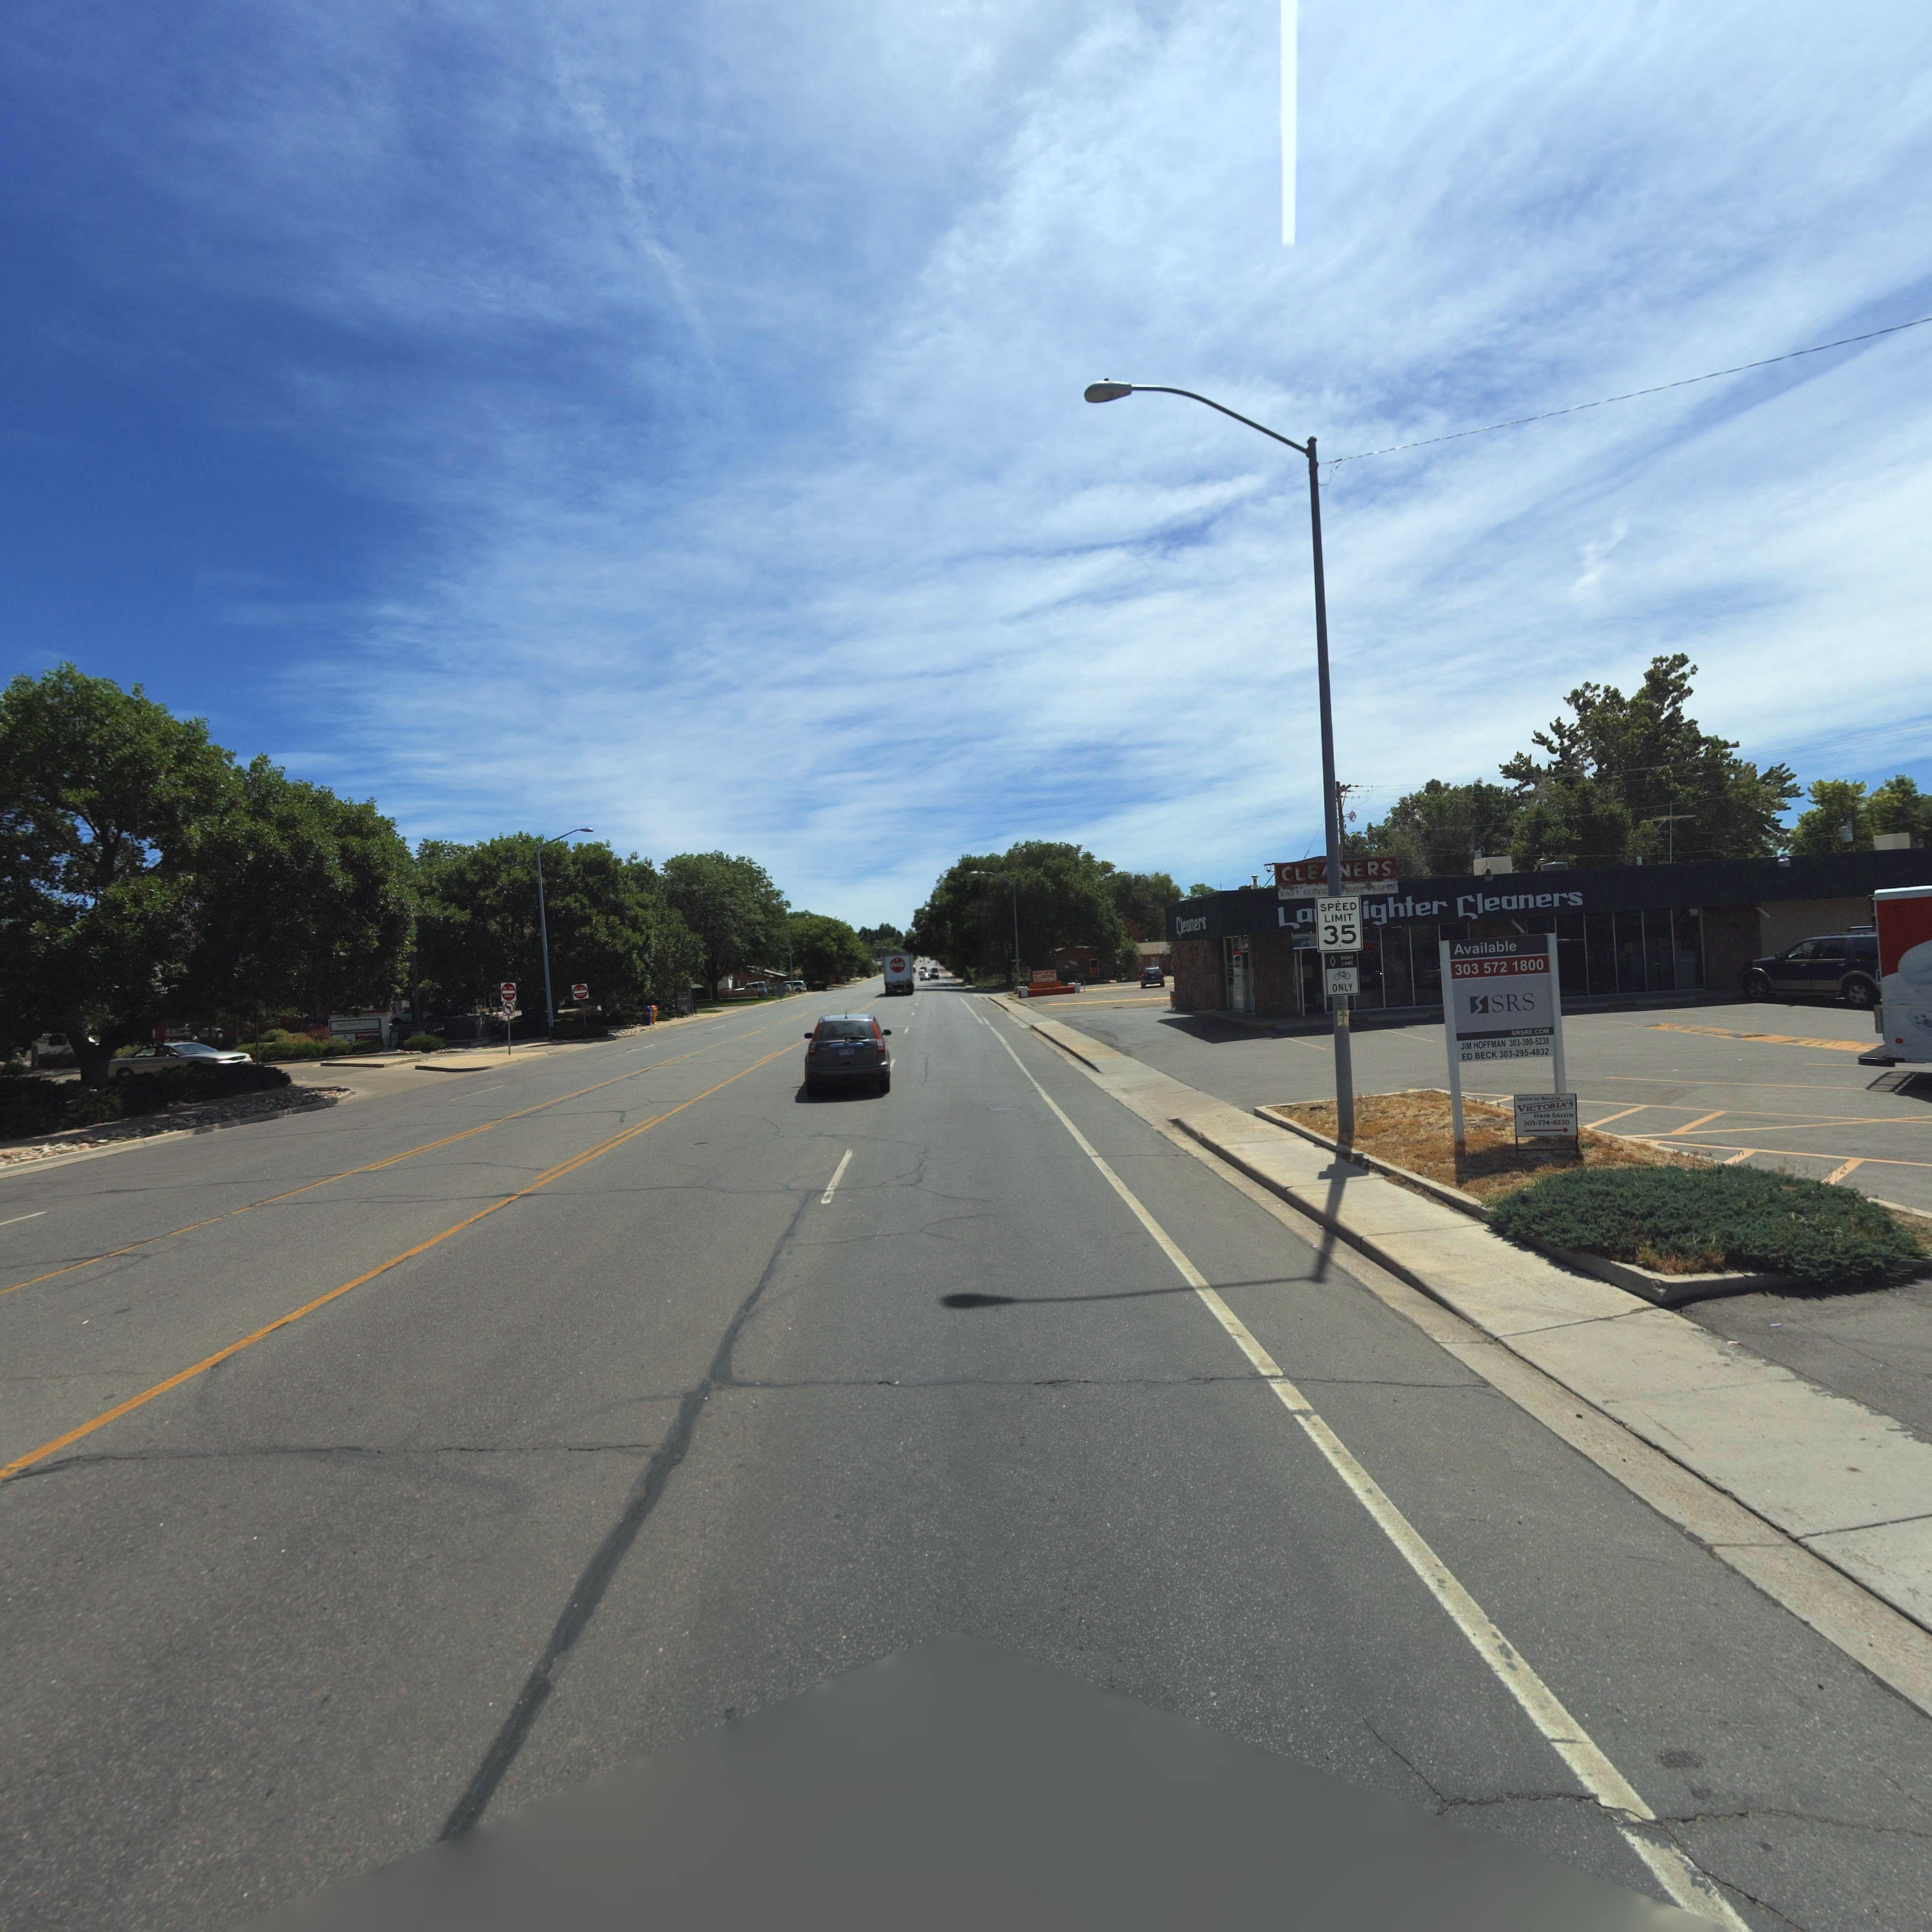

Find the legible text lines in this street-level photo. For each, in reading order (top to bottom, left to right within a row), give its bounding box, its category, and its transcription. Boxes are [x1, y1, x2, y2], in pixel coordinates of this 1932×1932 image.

[1277, 890, 1584, 930] BusinessName: La***ighter Cleaners
[339, 1034, 347, 1040] BusinessName: Q
[1517, 1100, 1574, 1112] BusinessName: VICTORIA'S
[1534, 1112, 1574, 1118] BusinessName: HAIR SALON